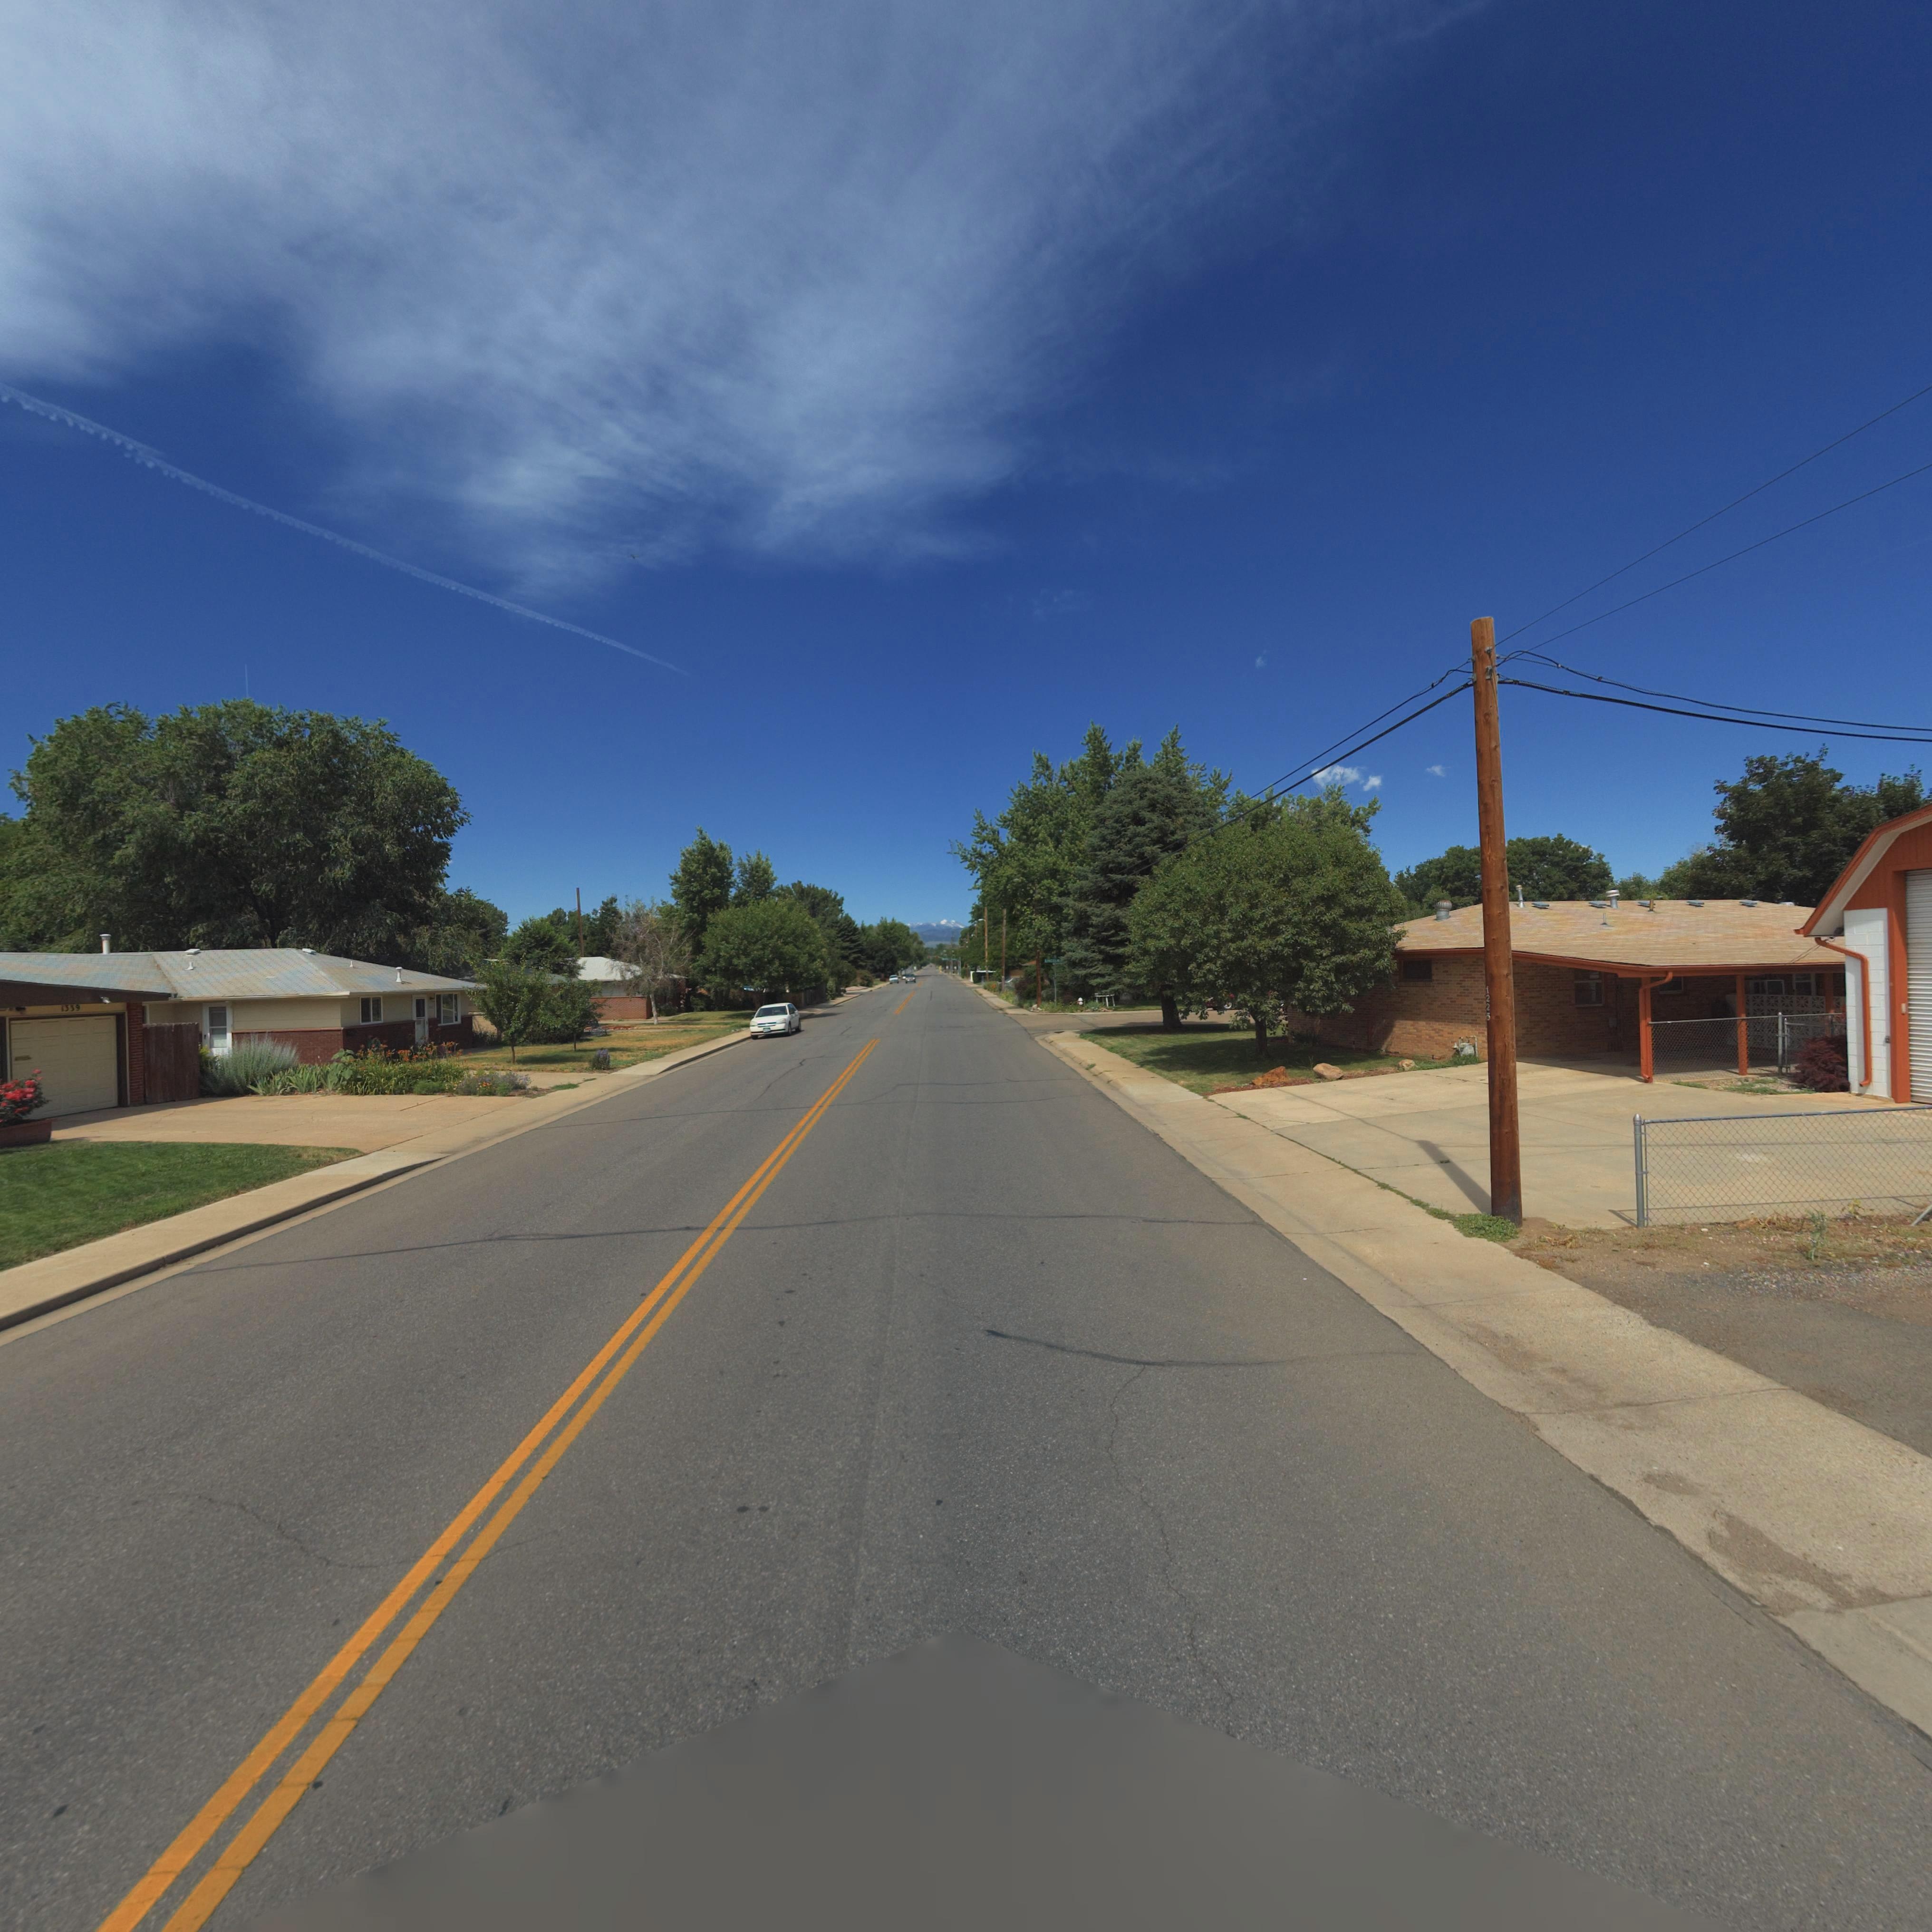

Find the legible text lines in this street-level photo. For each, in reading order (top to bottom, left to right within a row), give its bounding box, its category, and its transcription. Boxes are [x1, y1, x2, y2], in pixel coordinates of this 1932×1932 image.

[60, 1003, 81, 1012] StreetNumber: 1339
[1485, 985, 1491, 1021] StreetNumber: 1225